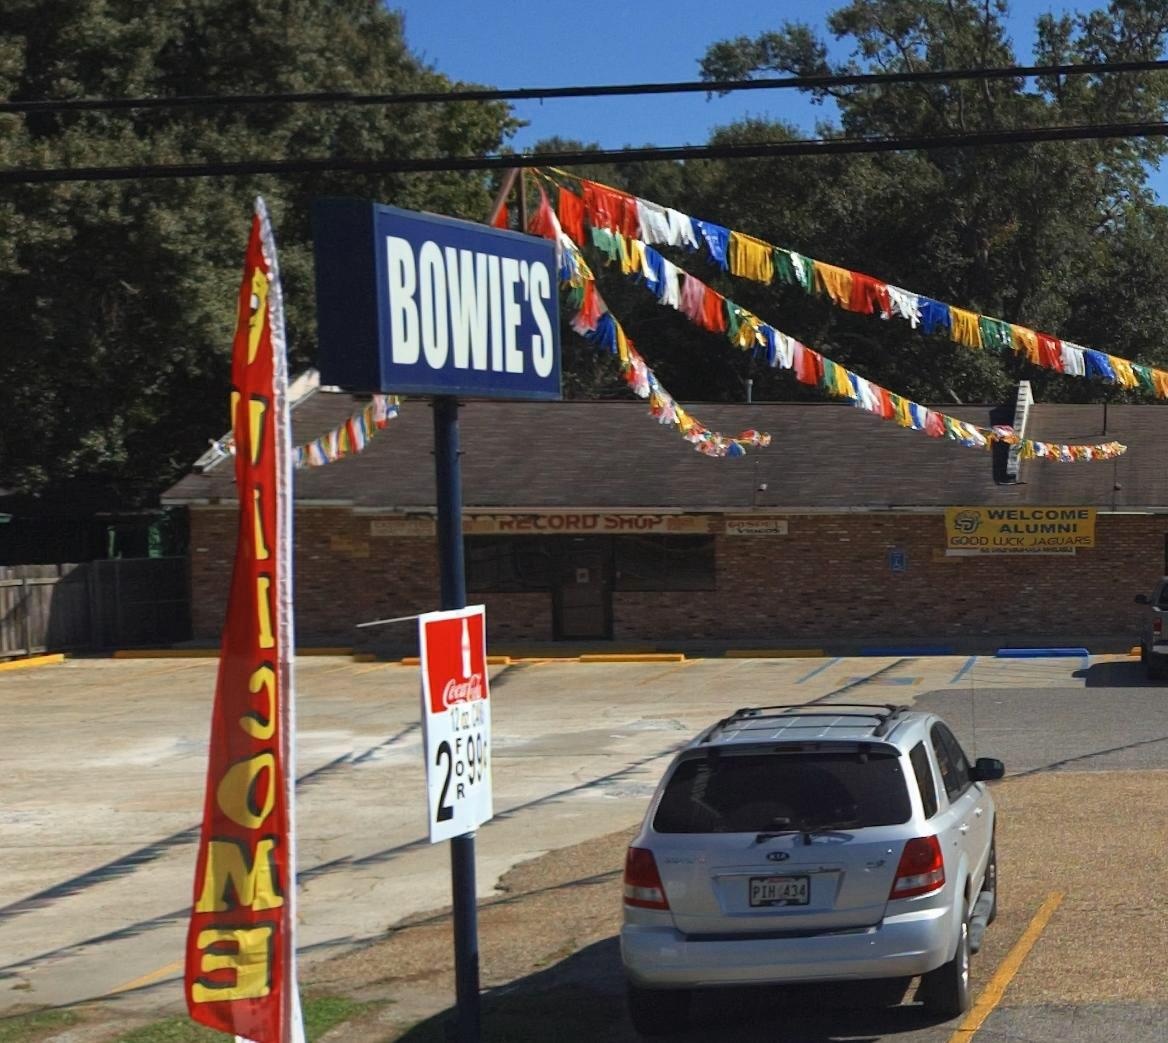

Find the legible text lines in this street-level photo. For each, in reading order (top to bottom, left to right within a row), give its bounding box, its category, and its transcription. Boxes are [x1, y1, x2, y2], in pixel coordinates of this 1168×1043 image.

[384, 231, 555, 380] BusinessName: BOWIE'S
[498, 514, 665, 531] BusinessName: **CORD ****
[949, 535, 1092, 547] None: GOOD LUCK JAGUARS
[986, 508, 1089, 521] None: WELCOME
[998, 522, 1079, 534] None: ALUMNI
[186, 393, 287, 1005] None: **I*OM*
[440, 673, 483, 710] None: Coca-Cola
[448, 704, 472, 735] None: 12oz
[434, 731, 486, 826] None: 2FOR99
[753, 883, 806, 899] None: PIH 434